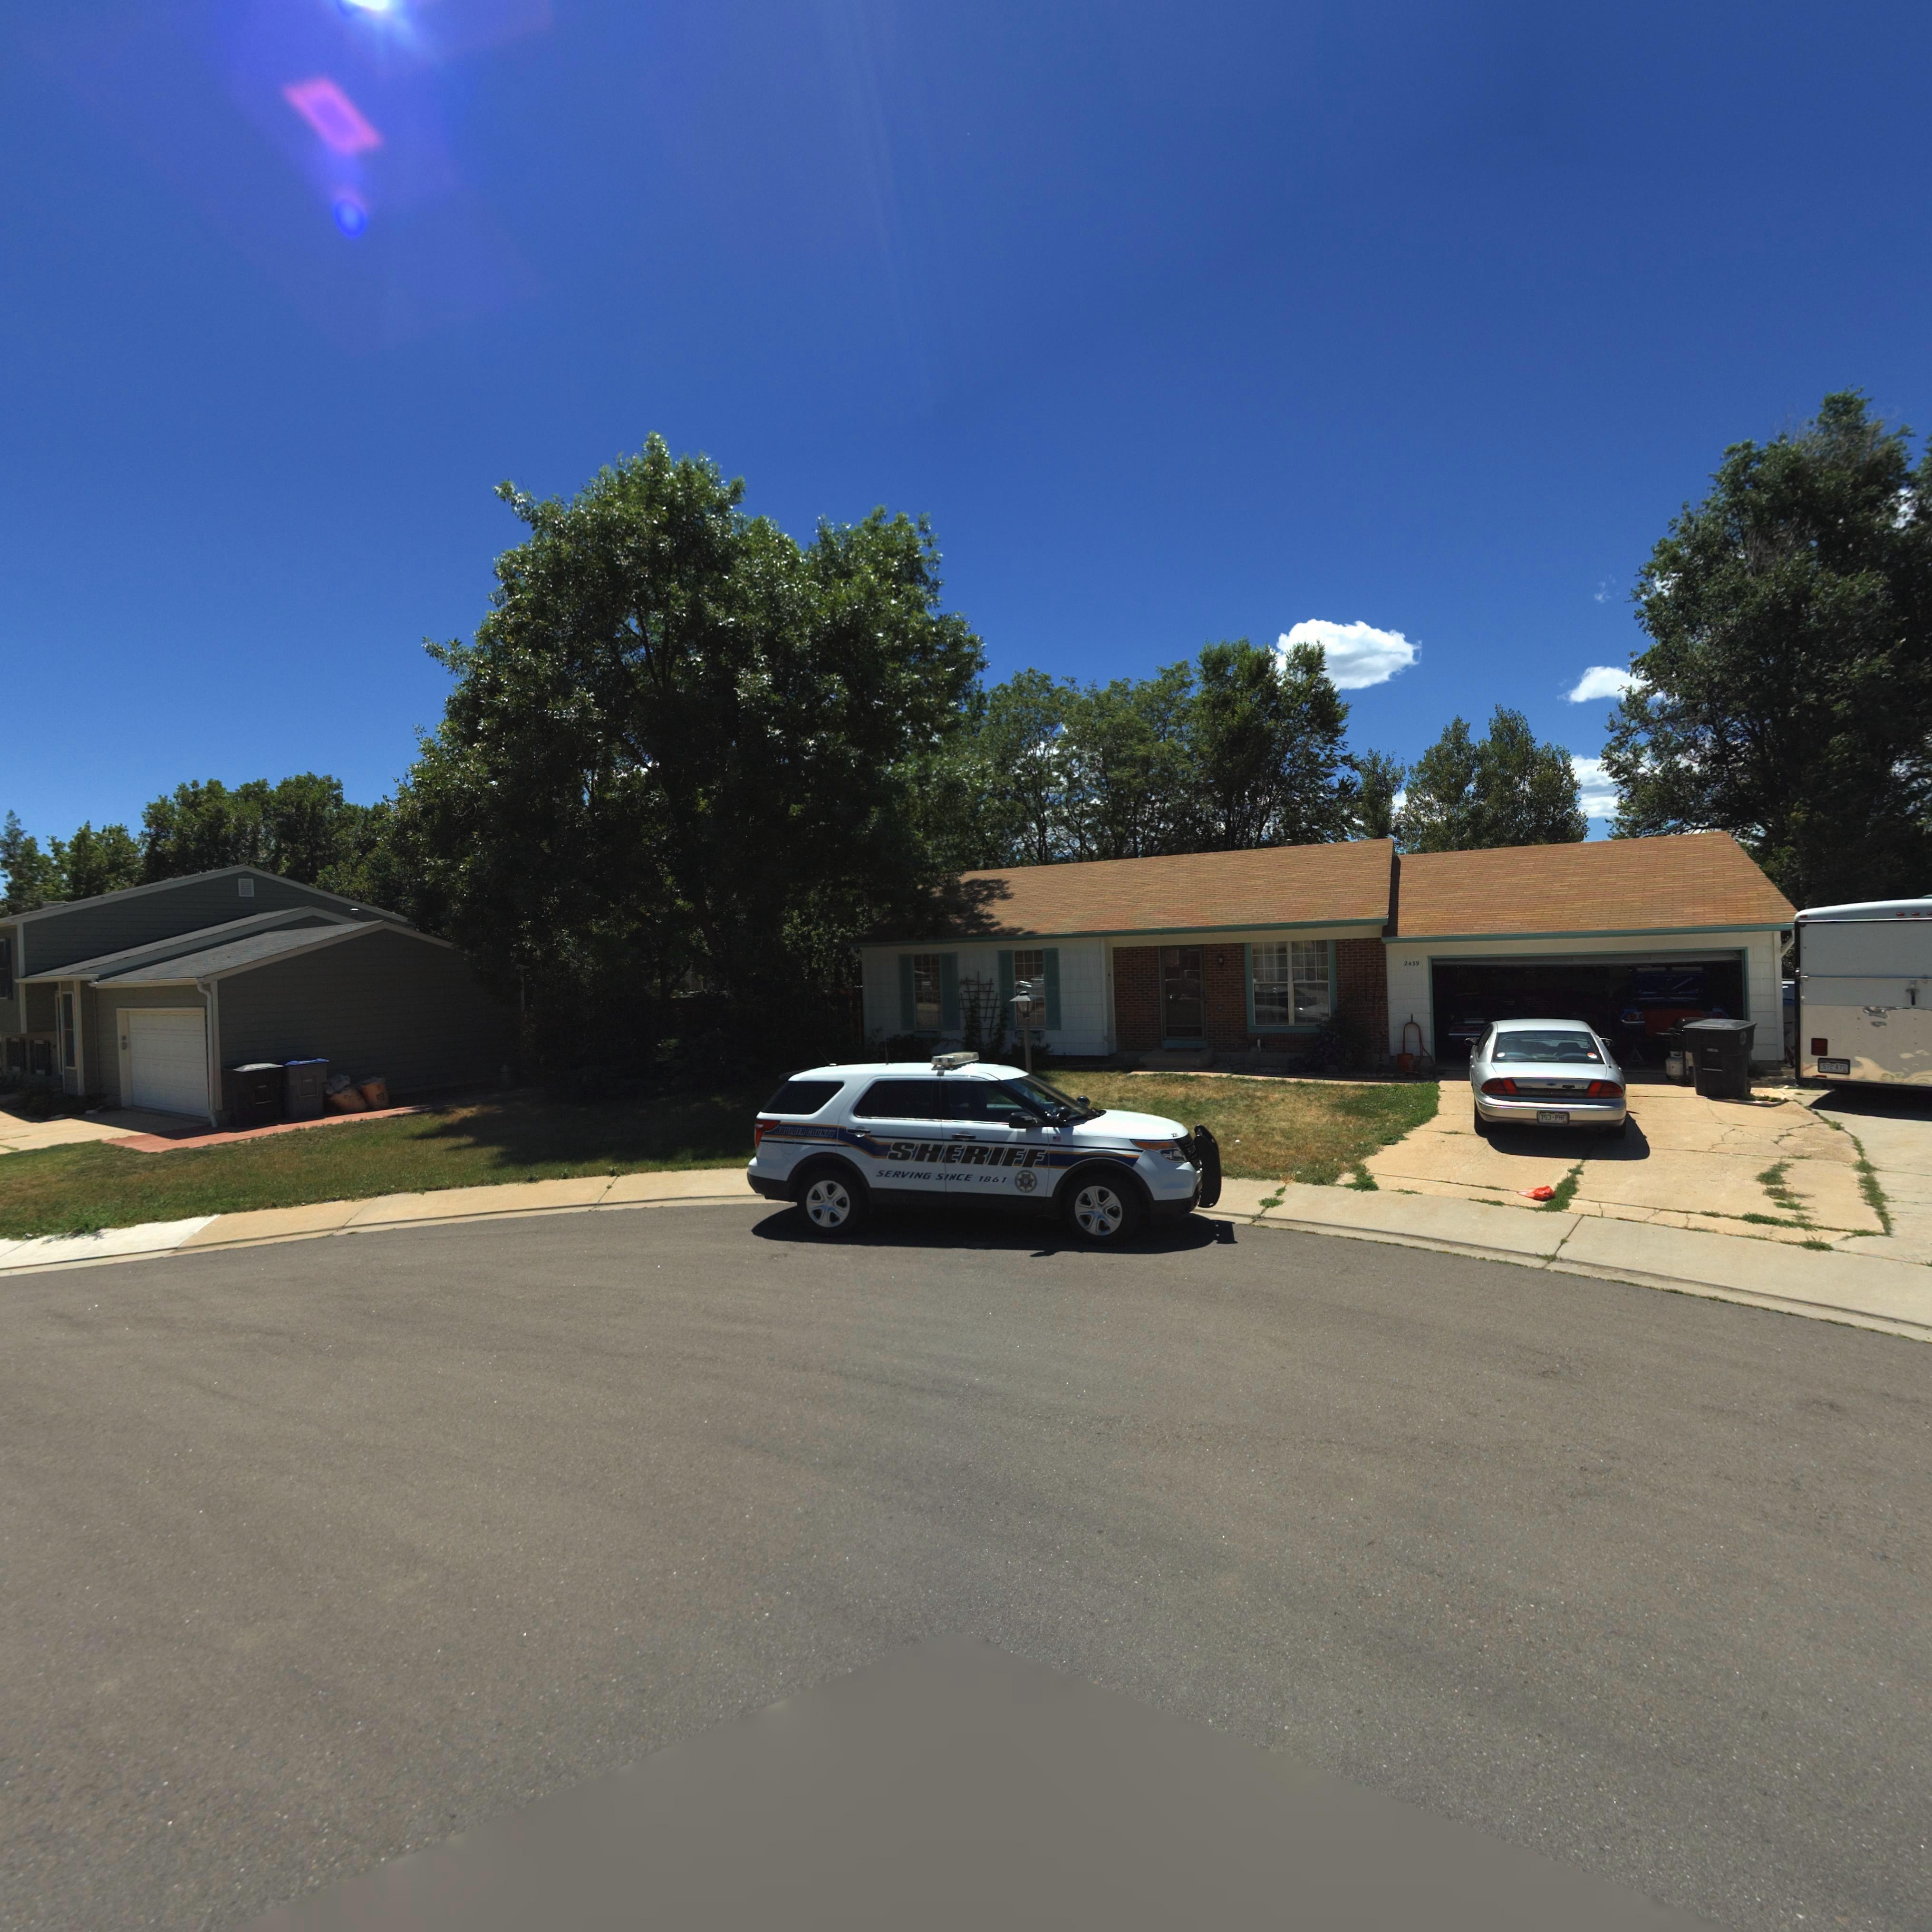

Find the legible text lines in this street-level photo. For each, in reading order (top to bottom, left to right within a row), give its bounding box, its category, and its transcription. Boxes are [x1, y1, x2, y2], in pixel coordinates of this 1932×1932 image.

[1403, 960, 1419, 966] StreetNumber: 2439